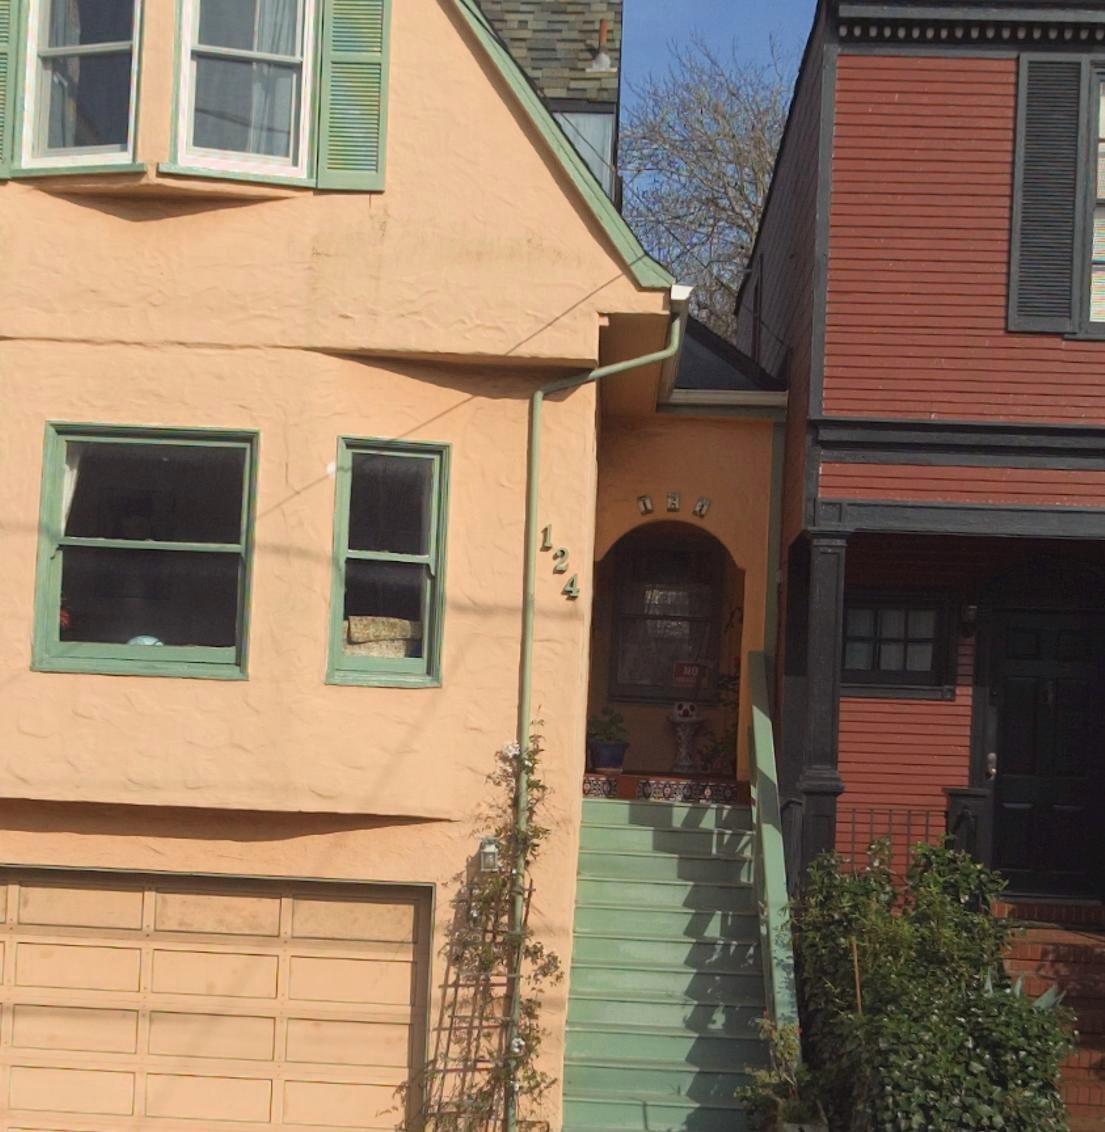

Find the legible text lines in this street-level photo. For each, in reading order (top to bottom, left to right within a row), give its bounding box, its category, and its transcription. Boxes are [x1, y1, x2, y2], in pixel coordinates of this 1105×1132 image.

[639, 494, 710, 515] StreetNumber: 124
[542, 521, 583, 601] StreetNumber: 124
[683, 665, 700, 677] None: NO